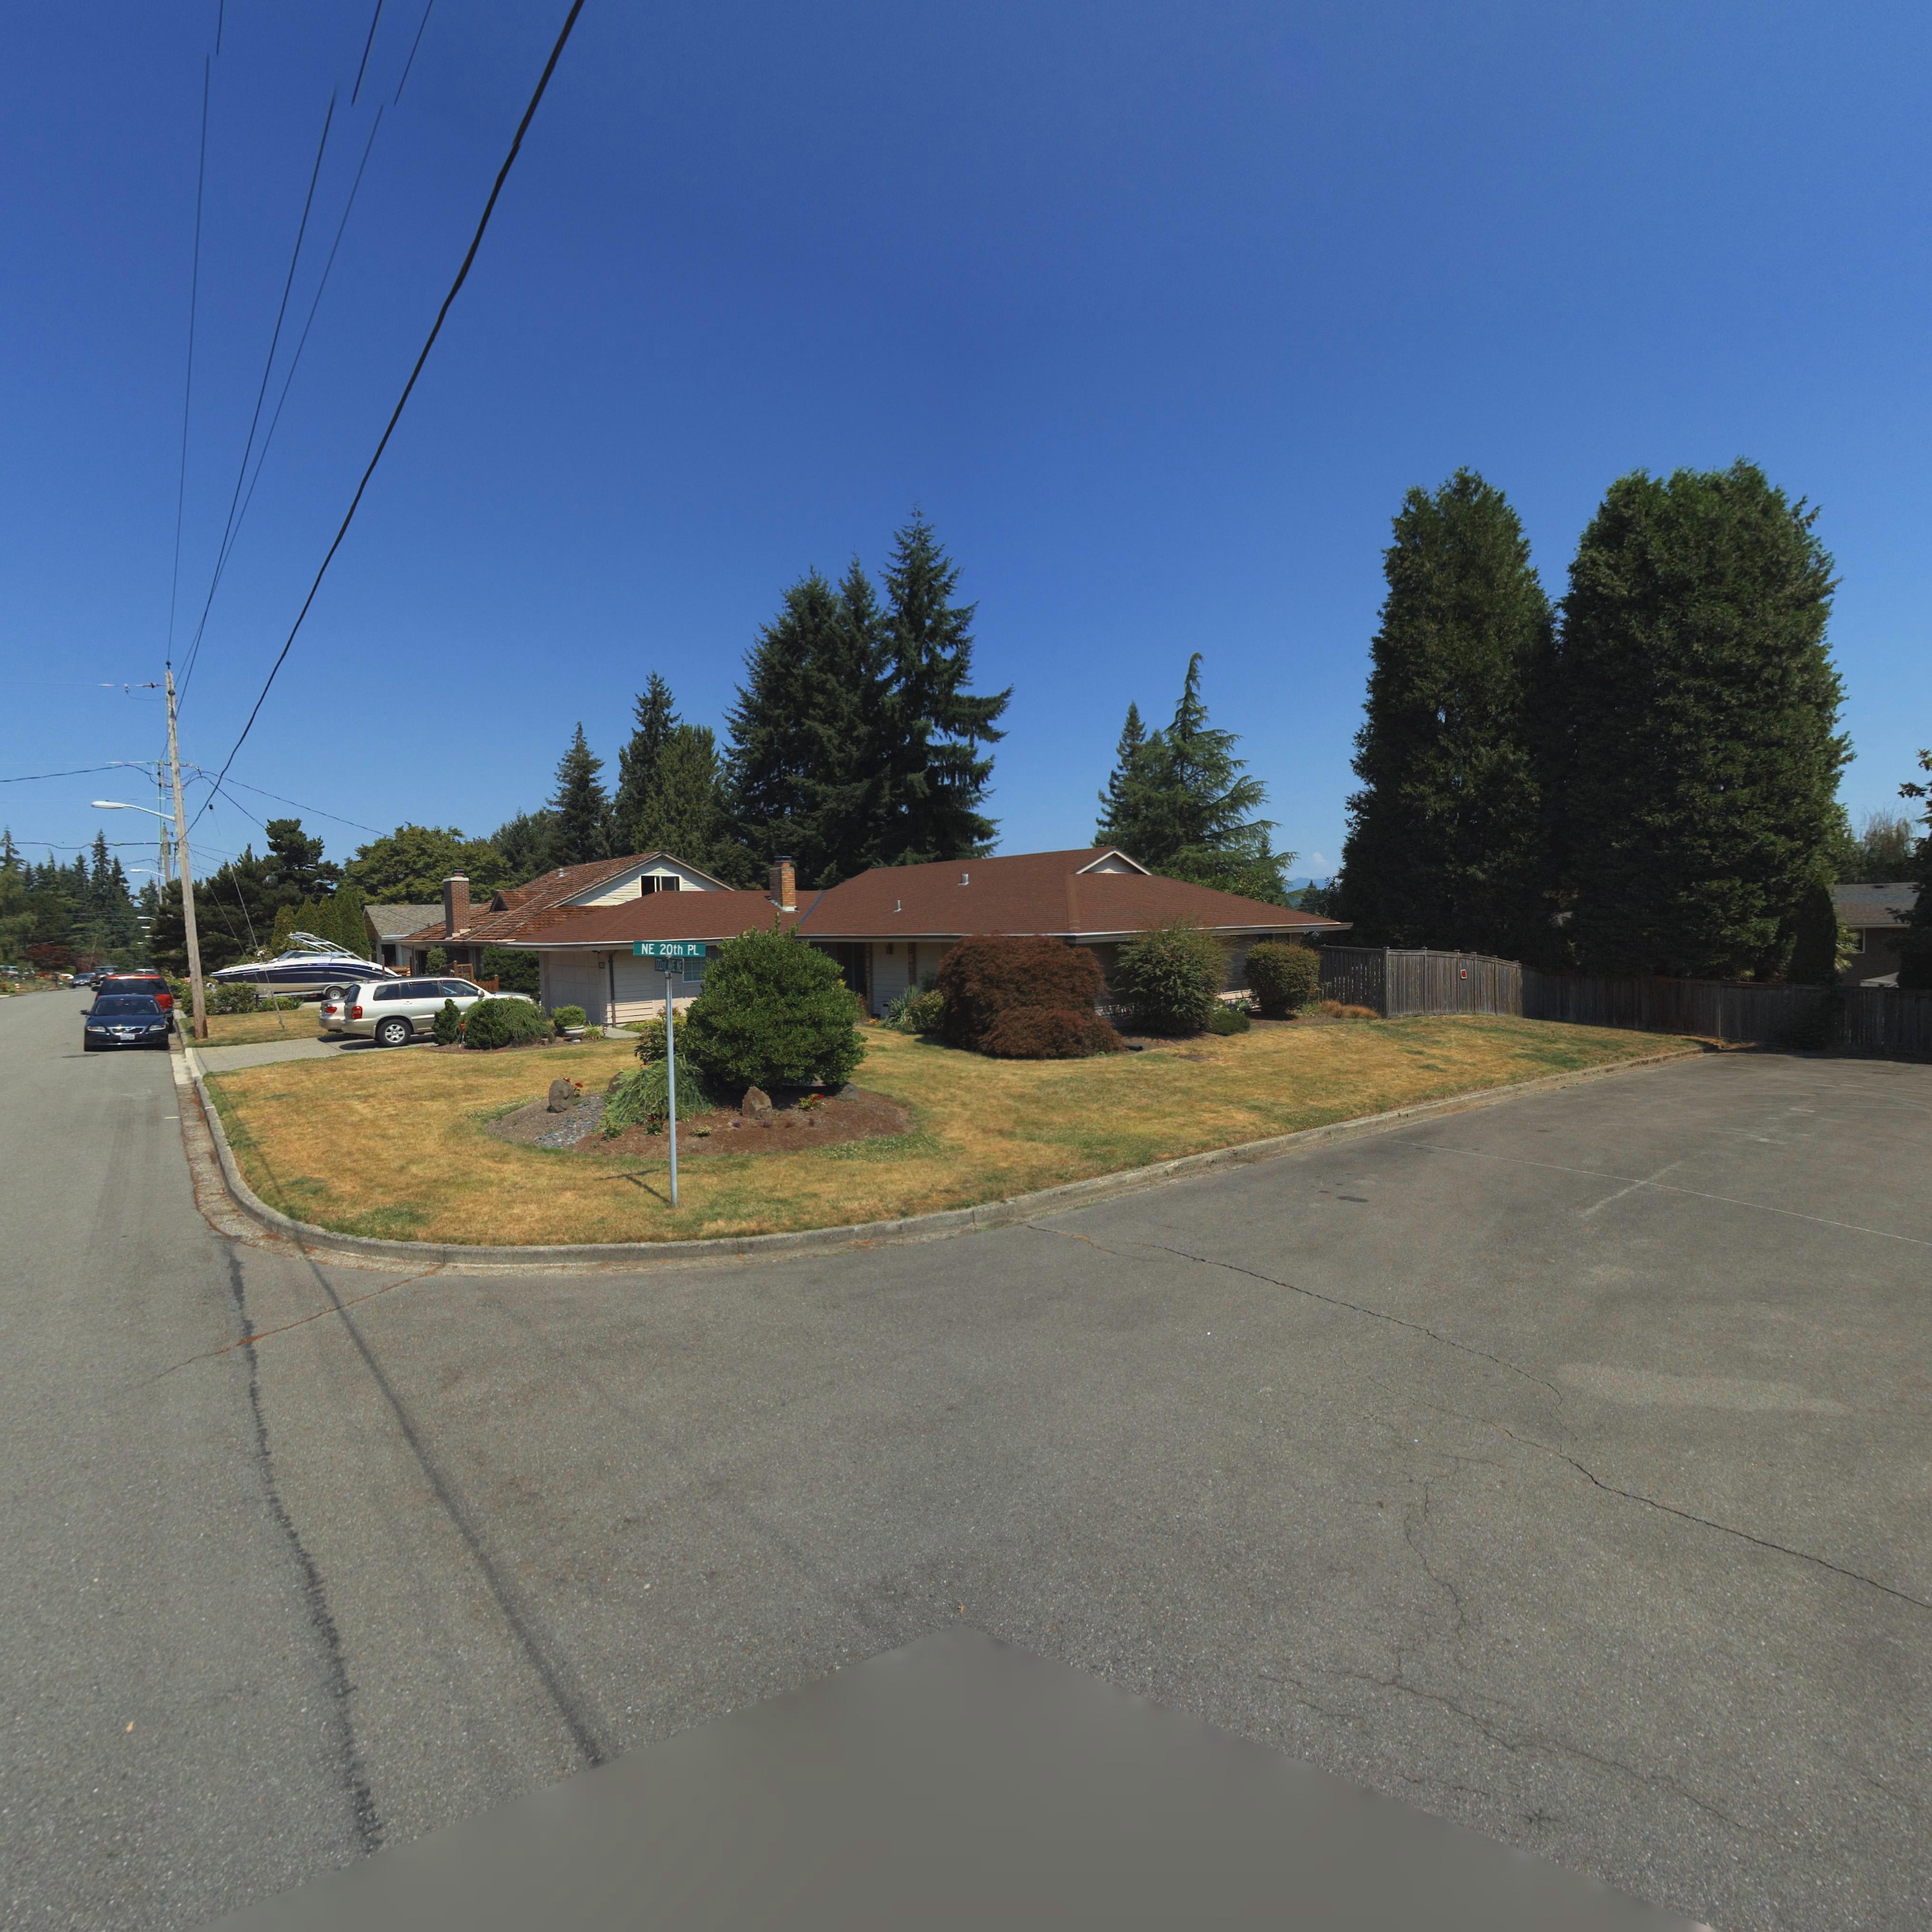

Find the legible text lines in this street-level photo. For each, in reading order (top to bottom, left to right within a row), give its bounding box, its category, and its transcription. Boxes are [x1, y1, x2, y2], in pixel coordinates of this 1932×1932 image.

[642, 944, 698, 955] StreetName: NE 20th PL
[655, 957, 683, 973] StreetName: 172** AVE NE